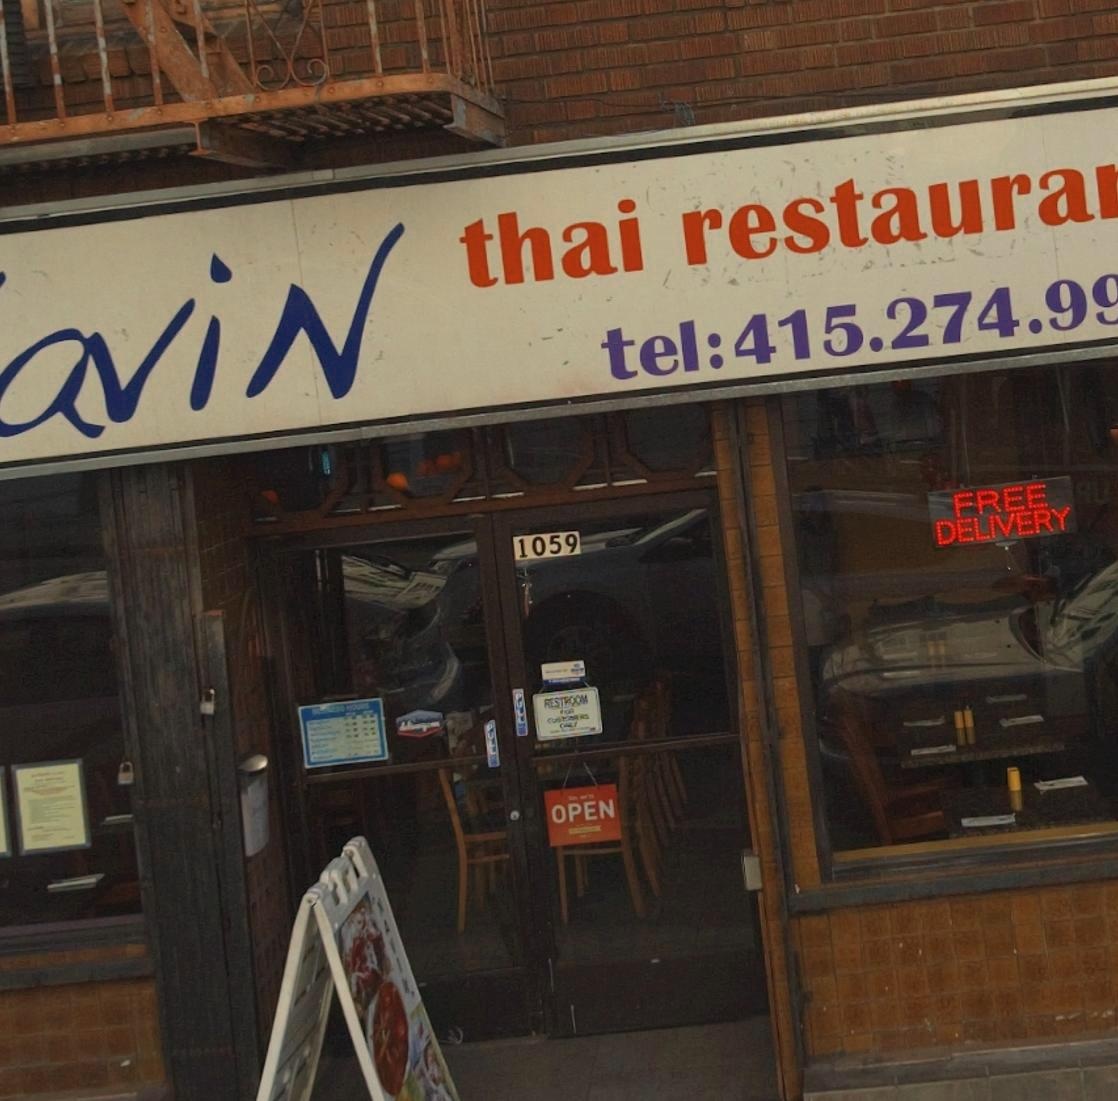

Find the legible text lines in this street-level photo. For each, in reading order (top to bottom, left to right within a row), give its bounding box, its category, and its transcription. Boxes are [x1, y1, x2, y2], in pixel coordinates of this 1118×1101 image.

[455, 165, 1101, 290] BusinessName: thai restaura
[85, 218, 408, 427] BusinessName: vin
[598, 276, 1089, 384] None: tel:415.274.9
[951, 481, 1052, 520] None: FREE
[516, 532, 579, 560] StreetNumber: 1059
[931, 504, 1074, 550] None: DELIVERY
[514, 691, 527, 726] None: PULL
[542, 692, 591, 710] None: RESTROOM
[486, 722, 498, 757] None: PULL
[548, 797, 616, 827] None: OPEN